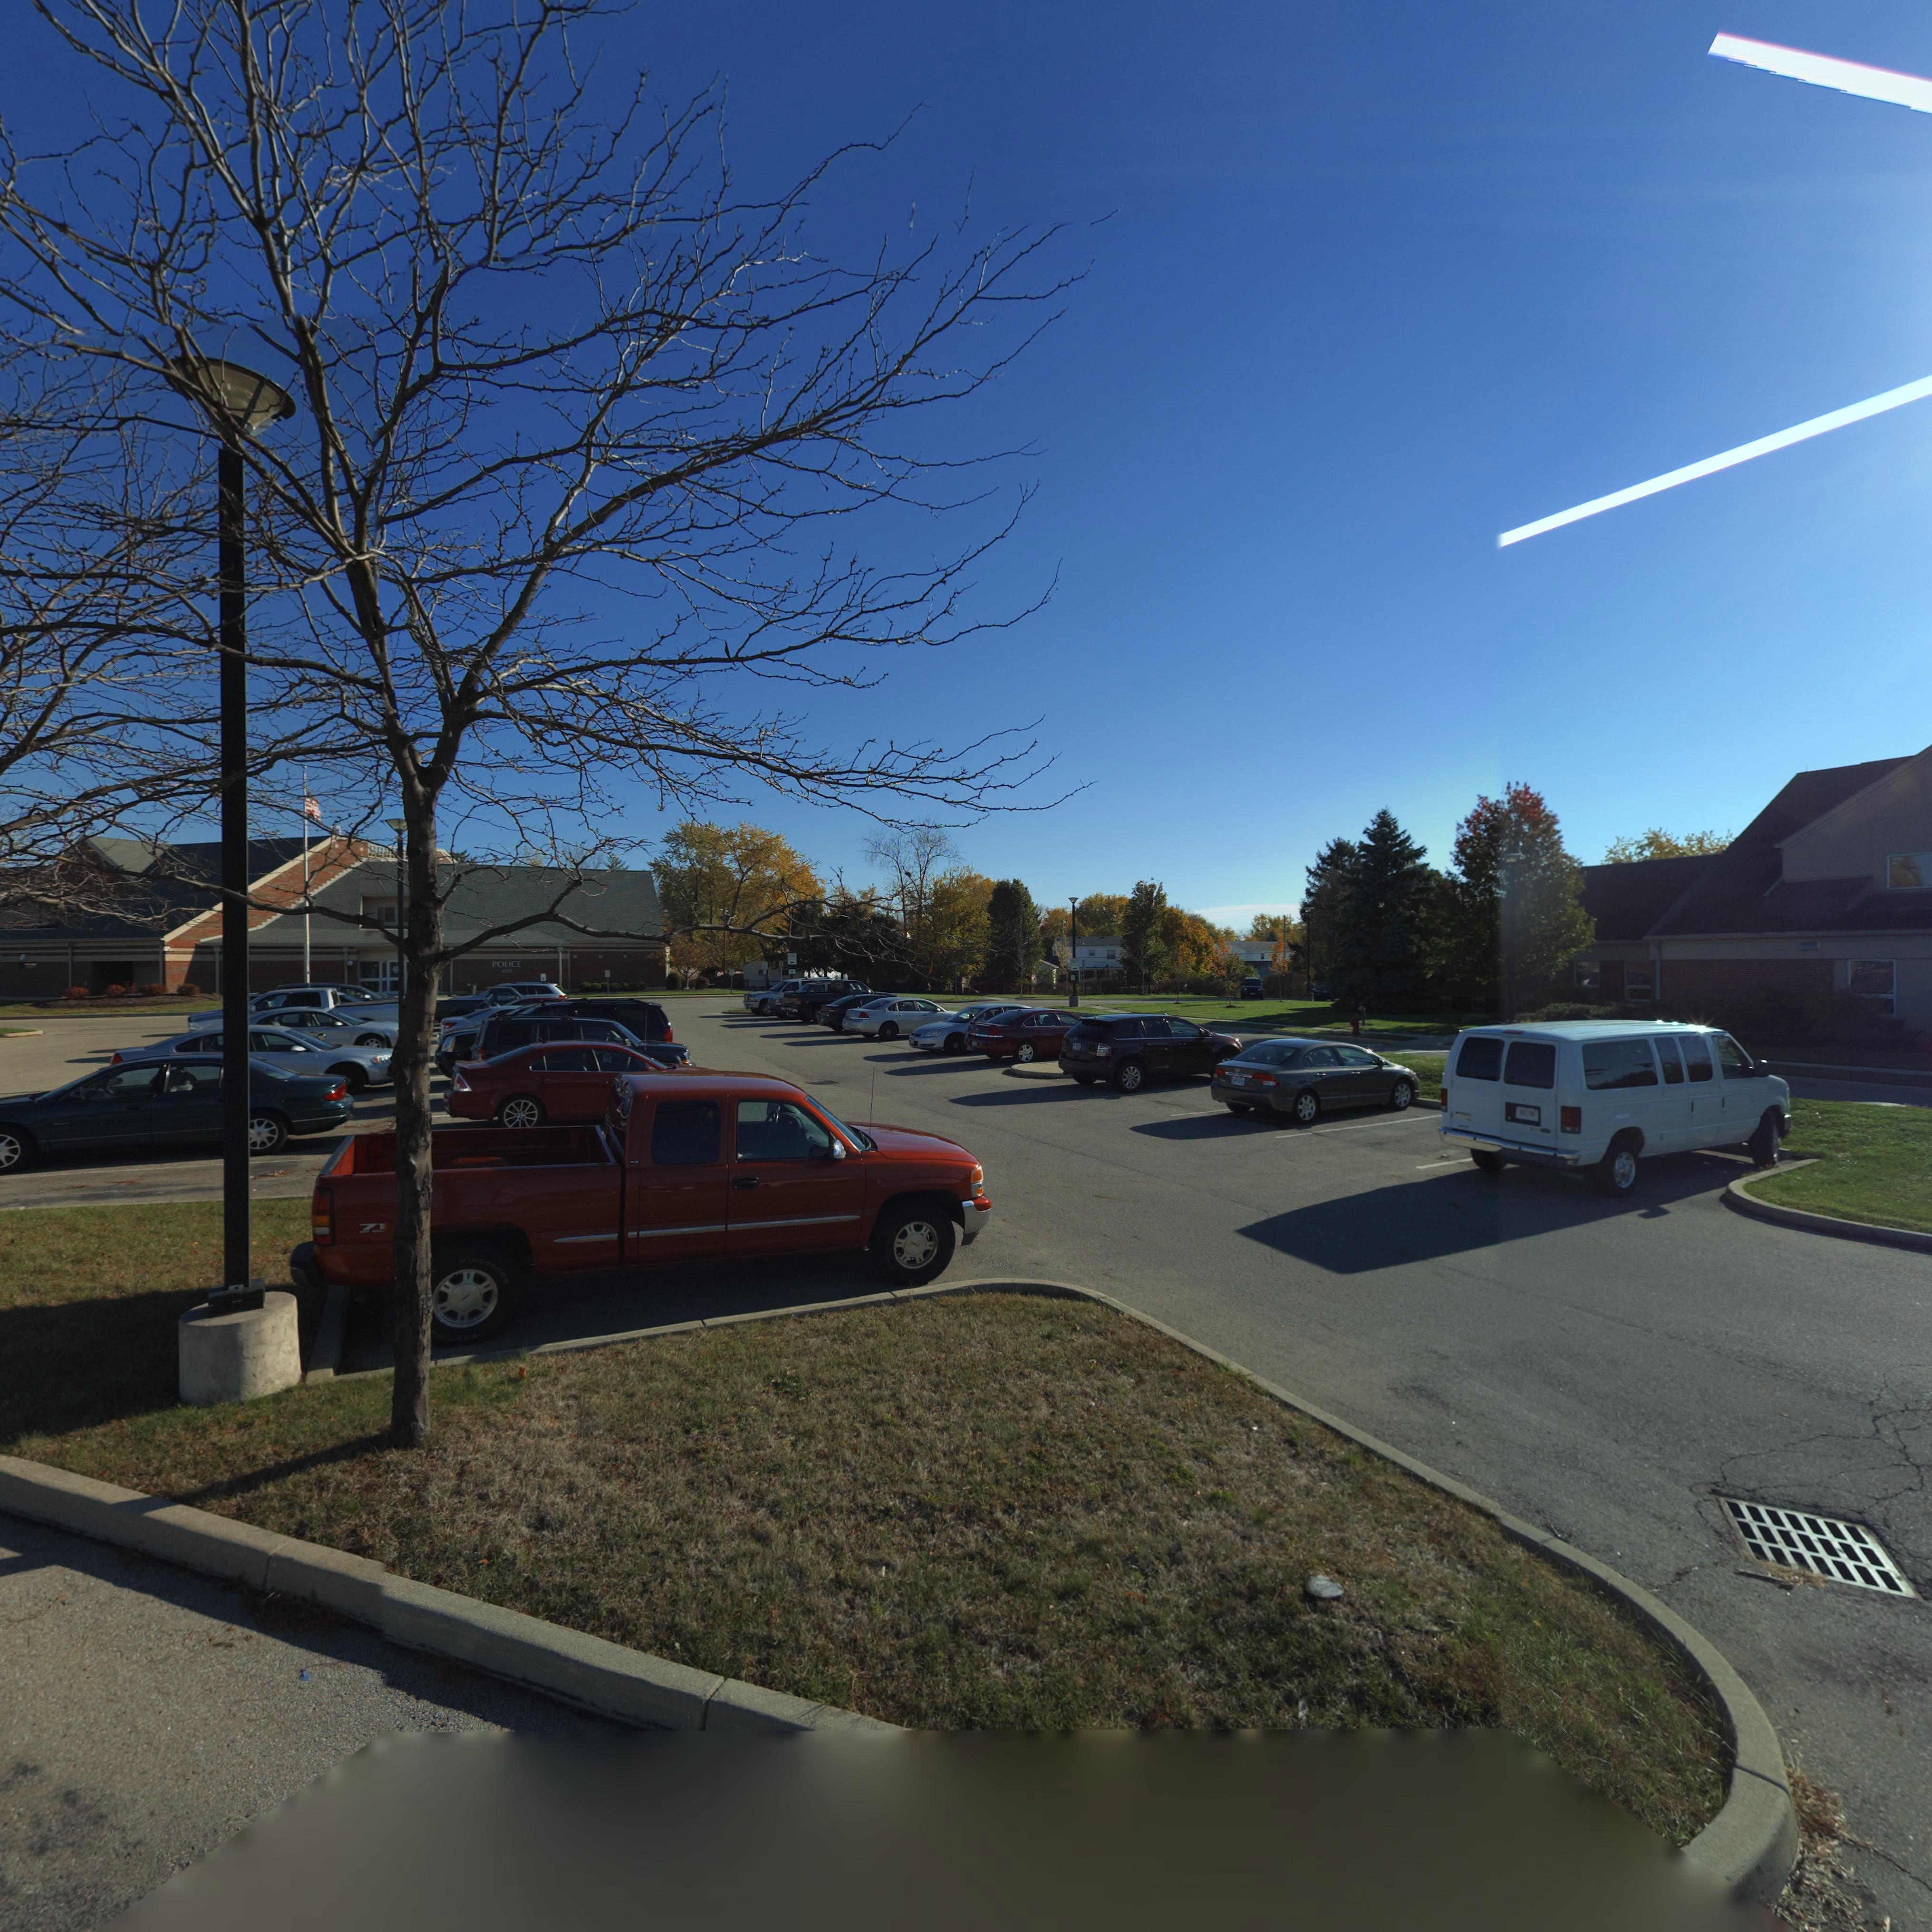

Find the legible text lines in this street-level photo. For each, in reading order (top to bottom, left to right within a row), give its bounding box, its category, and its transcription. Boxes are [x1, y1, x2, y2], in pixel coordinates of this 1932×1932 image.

[502, 969, 512, 973] StreetNumber: 6121